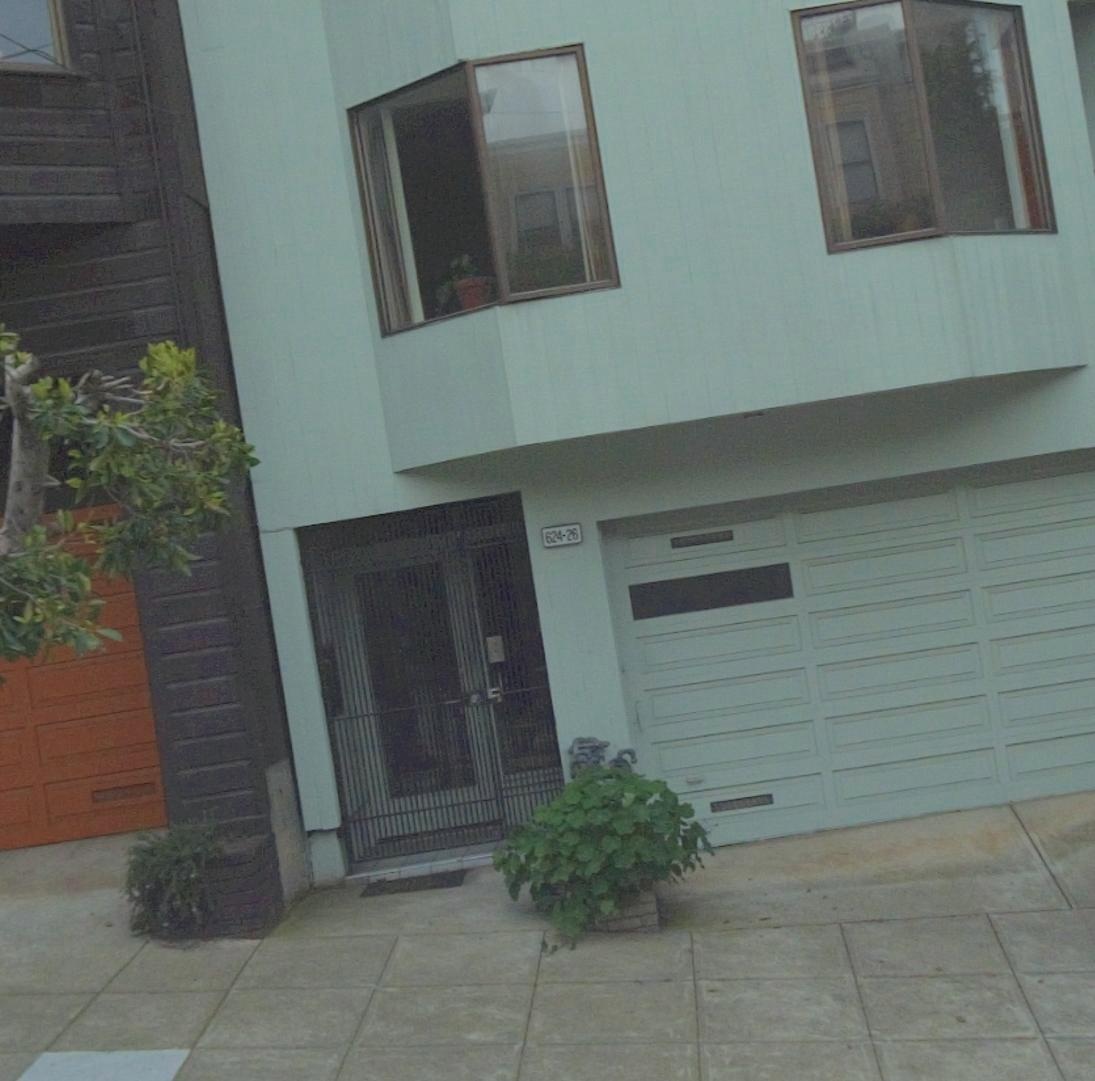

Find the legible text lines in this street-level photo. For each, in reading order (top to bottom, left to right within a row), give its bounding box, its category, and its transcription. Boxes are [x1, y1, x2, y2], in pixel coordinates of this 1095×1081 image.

[545, 529, 564, 545] StreetNumber: 624
[566, 527, 579, 541] StreetNumber: 26